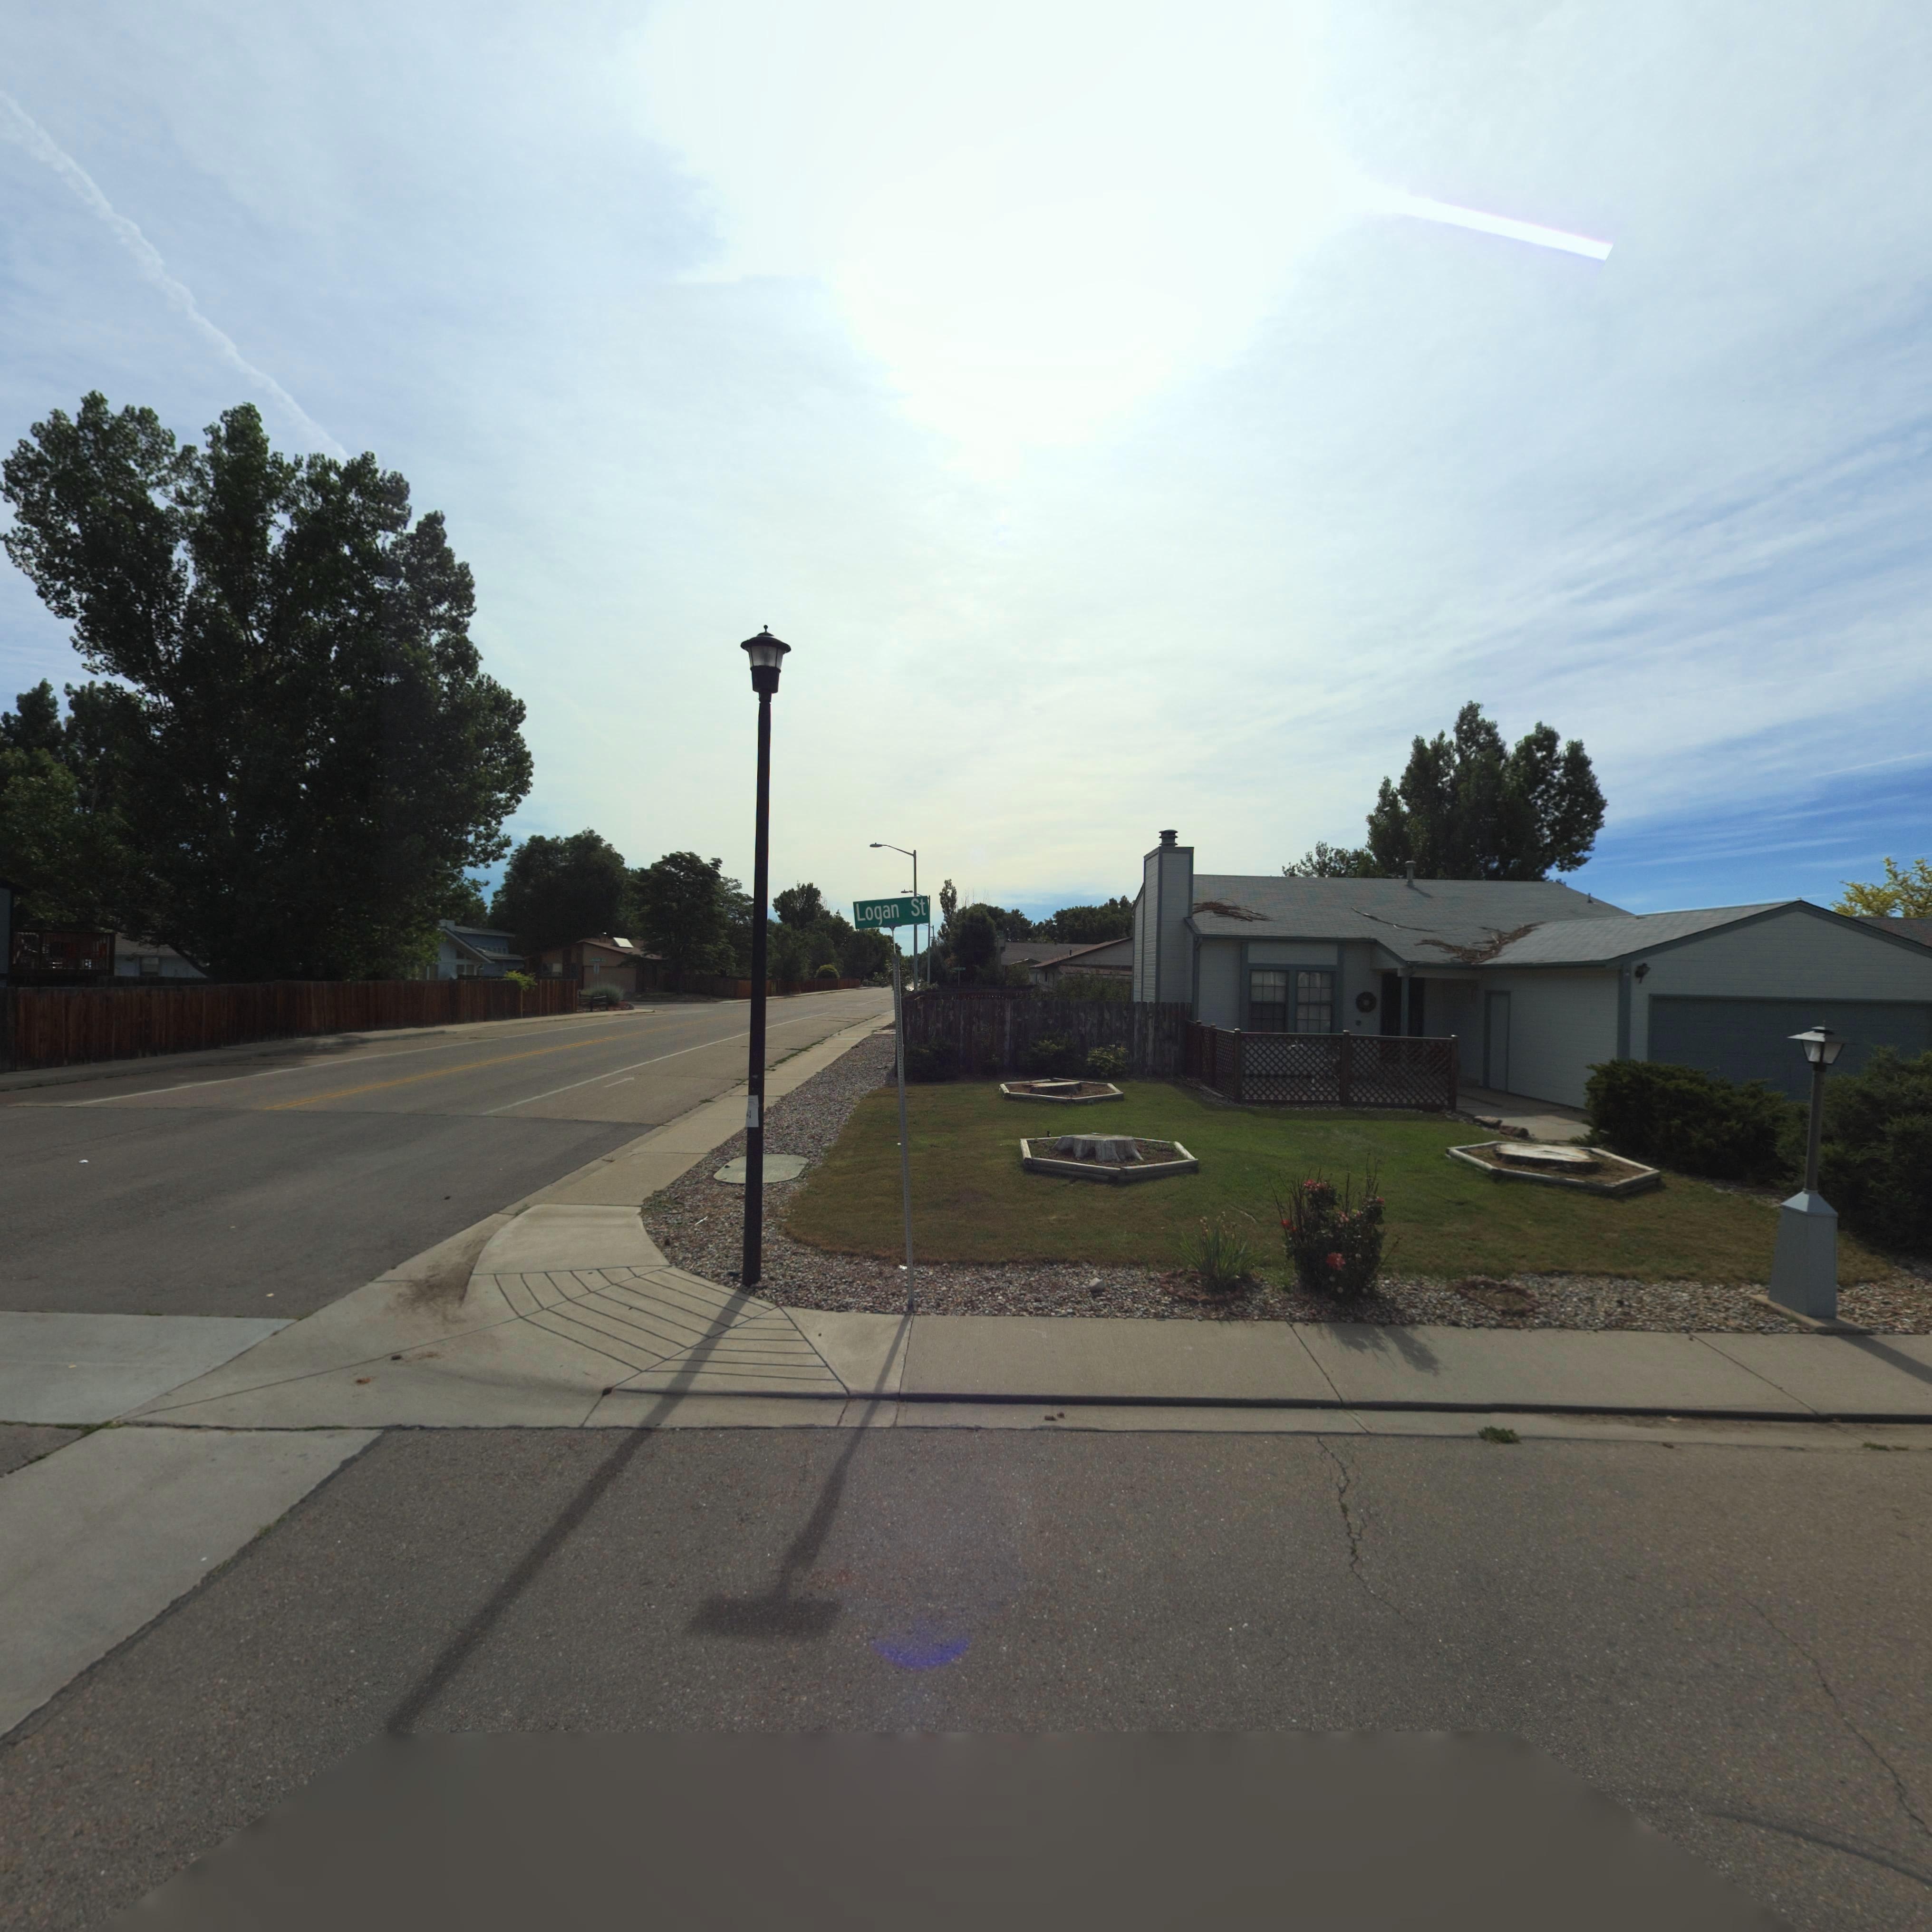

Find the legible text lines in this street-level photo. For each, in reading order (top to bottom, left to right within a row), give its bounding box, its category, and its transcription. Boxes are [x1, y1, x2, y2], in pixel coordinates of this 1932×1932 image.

[855, 897, 927, 926] StreetName: Logan St